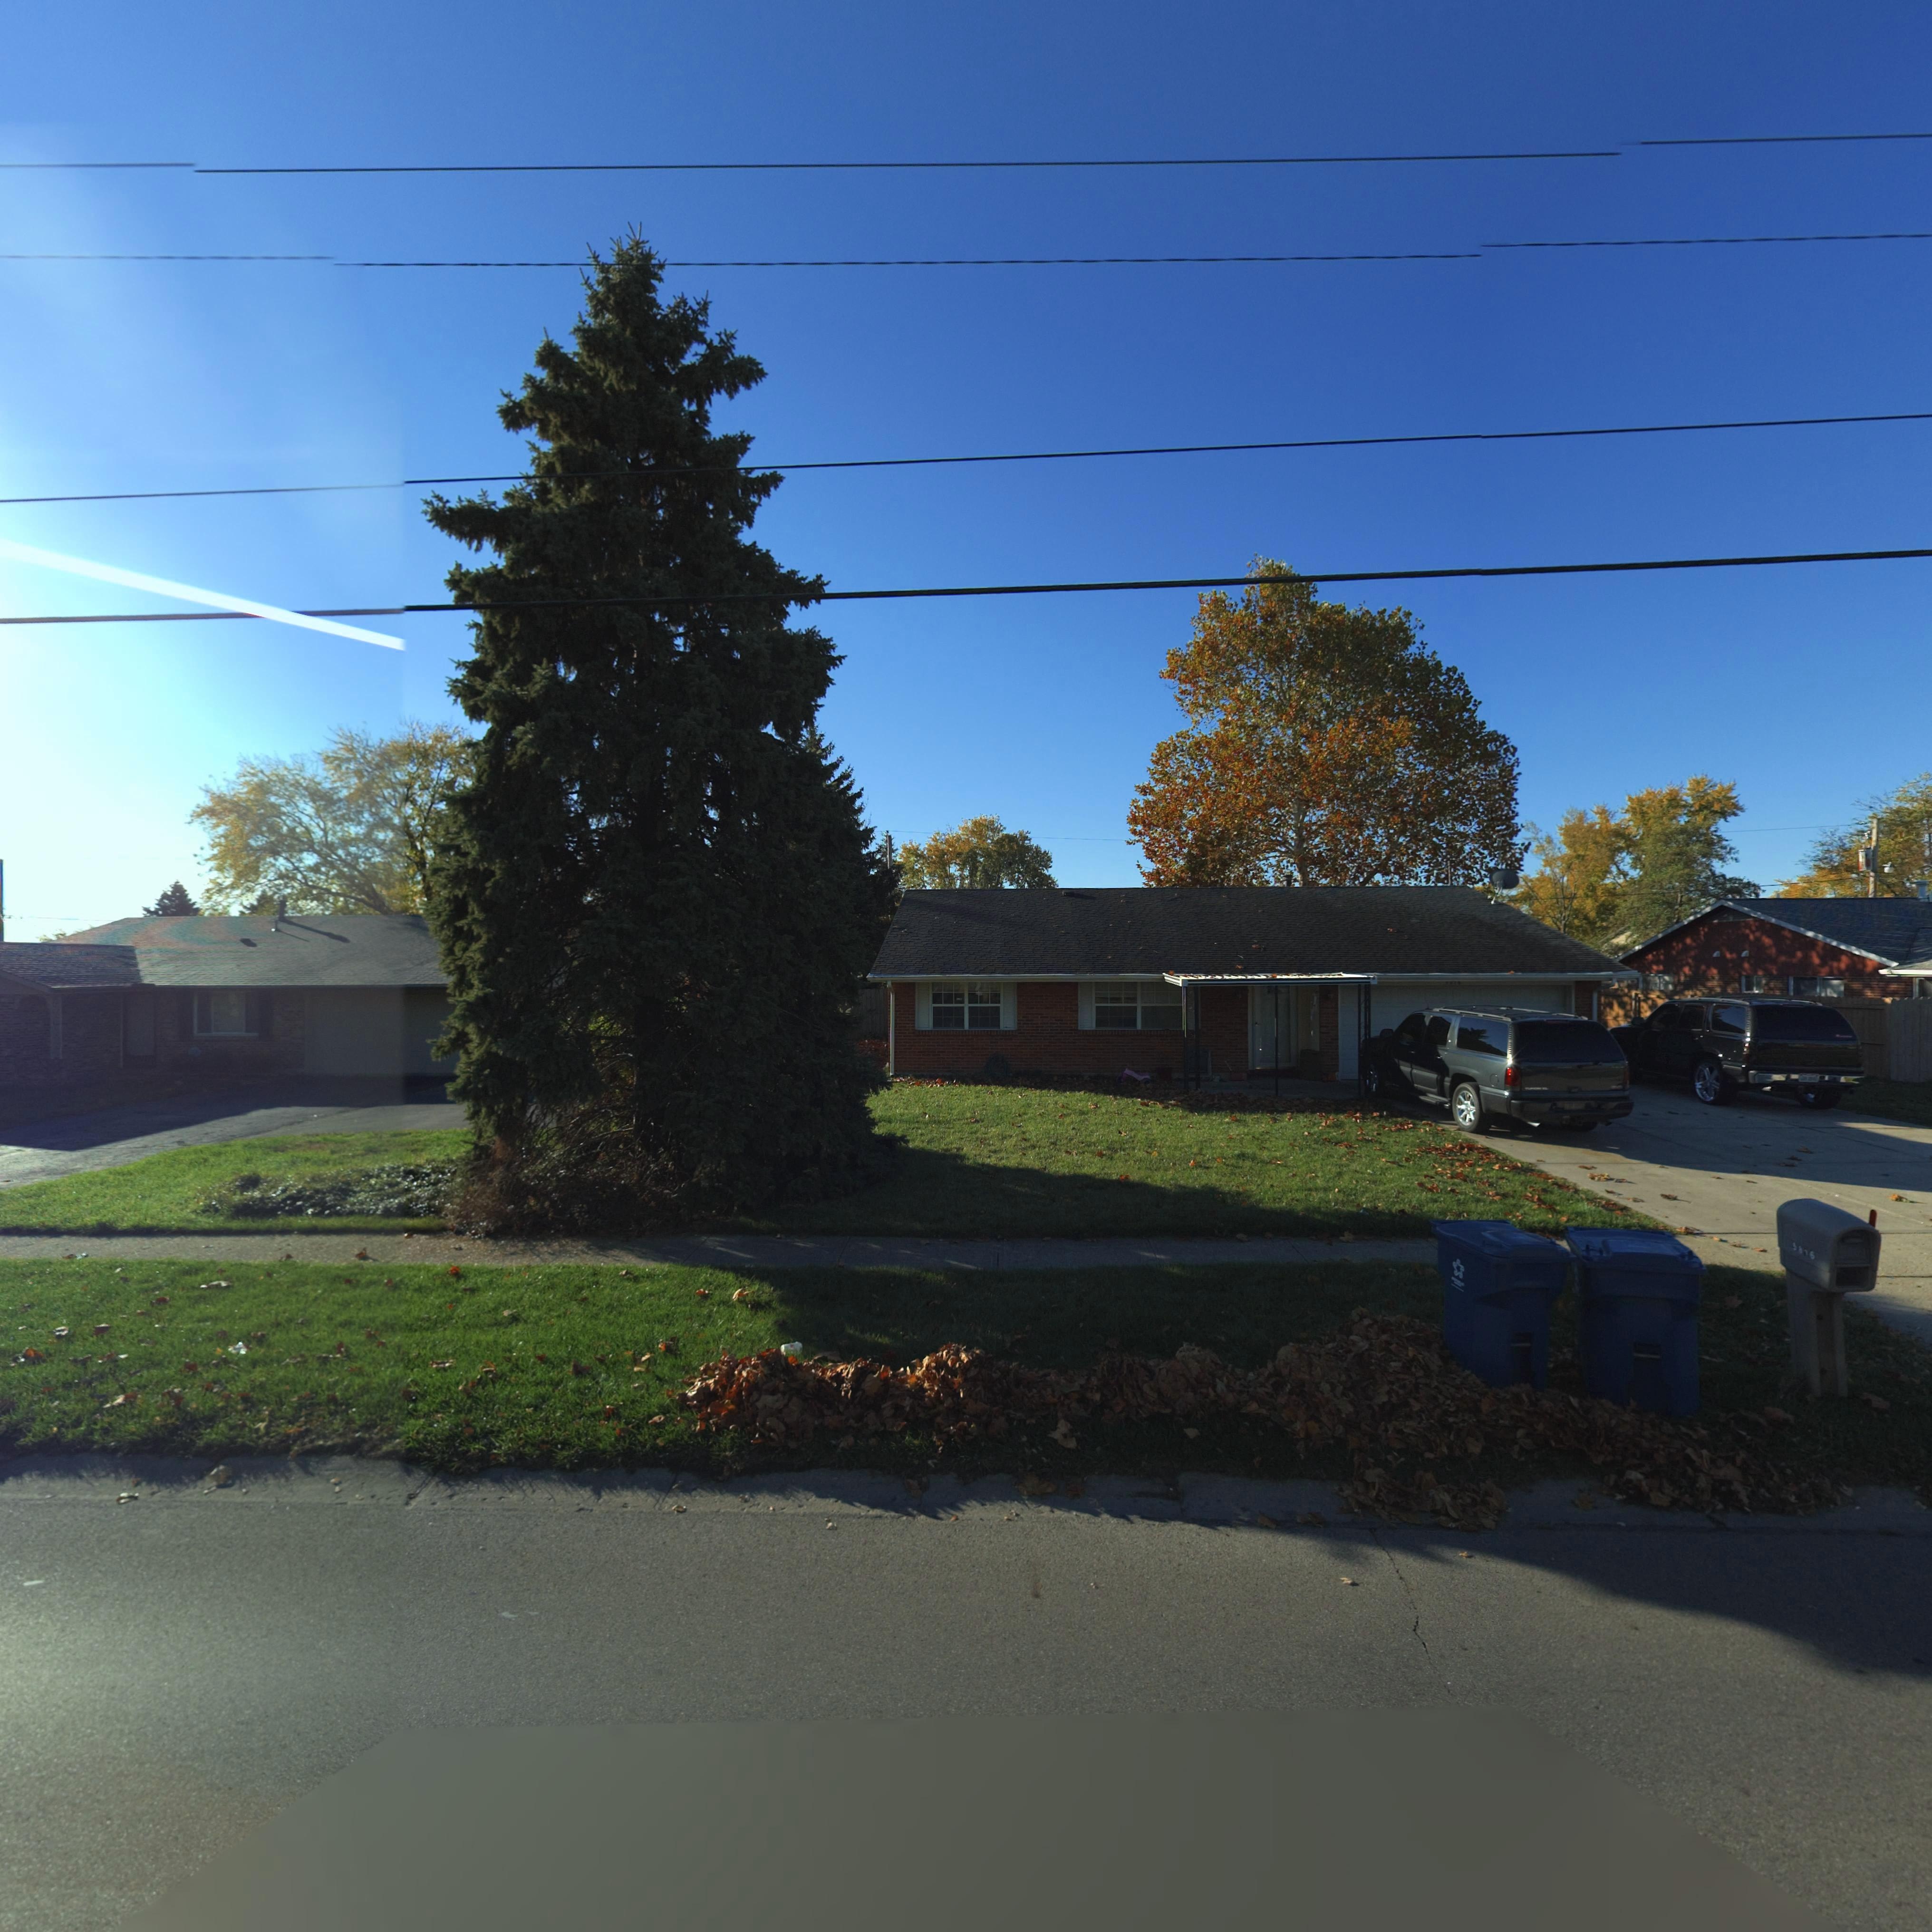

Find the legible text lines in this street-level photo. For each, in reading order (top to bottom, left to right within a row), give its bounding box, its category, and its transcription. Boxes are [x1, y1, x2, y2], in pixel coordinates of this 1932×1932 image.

[1791, 1241, 1816, 1262] StreetNumber: ***6